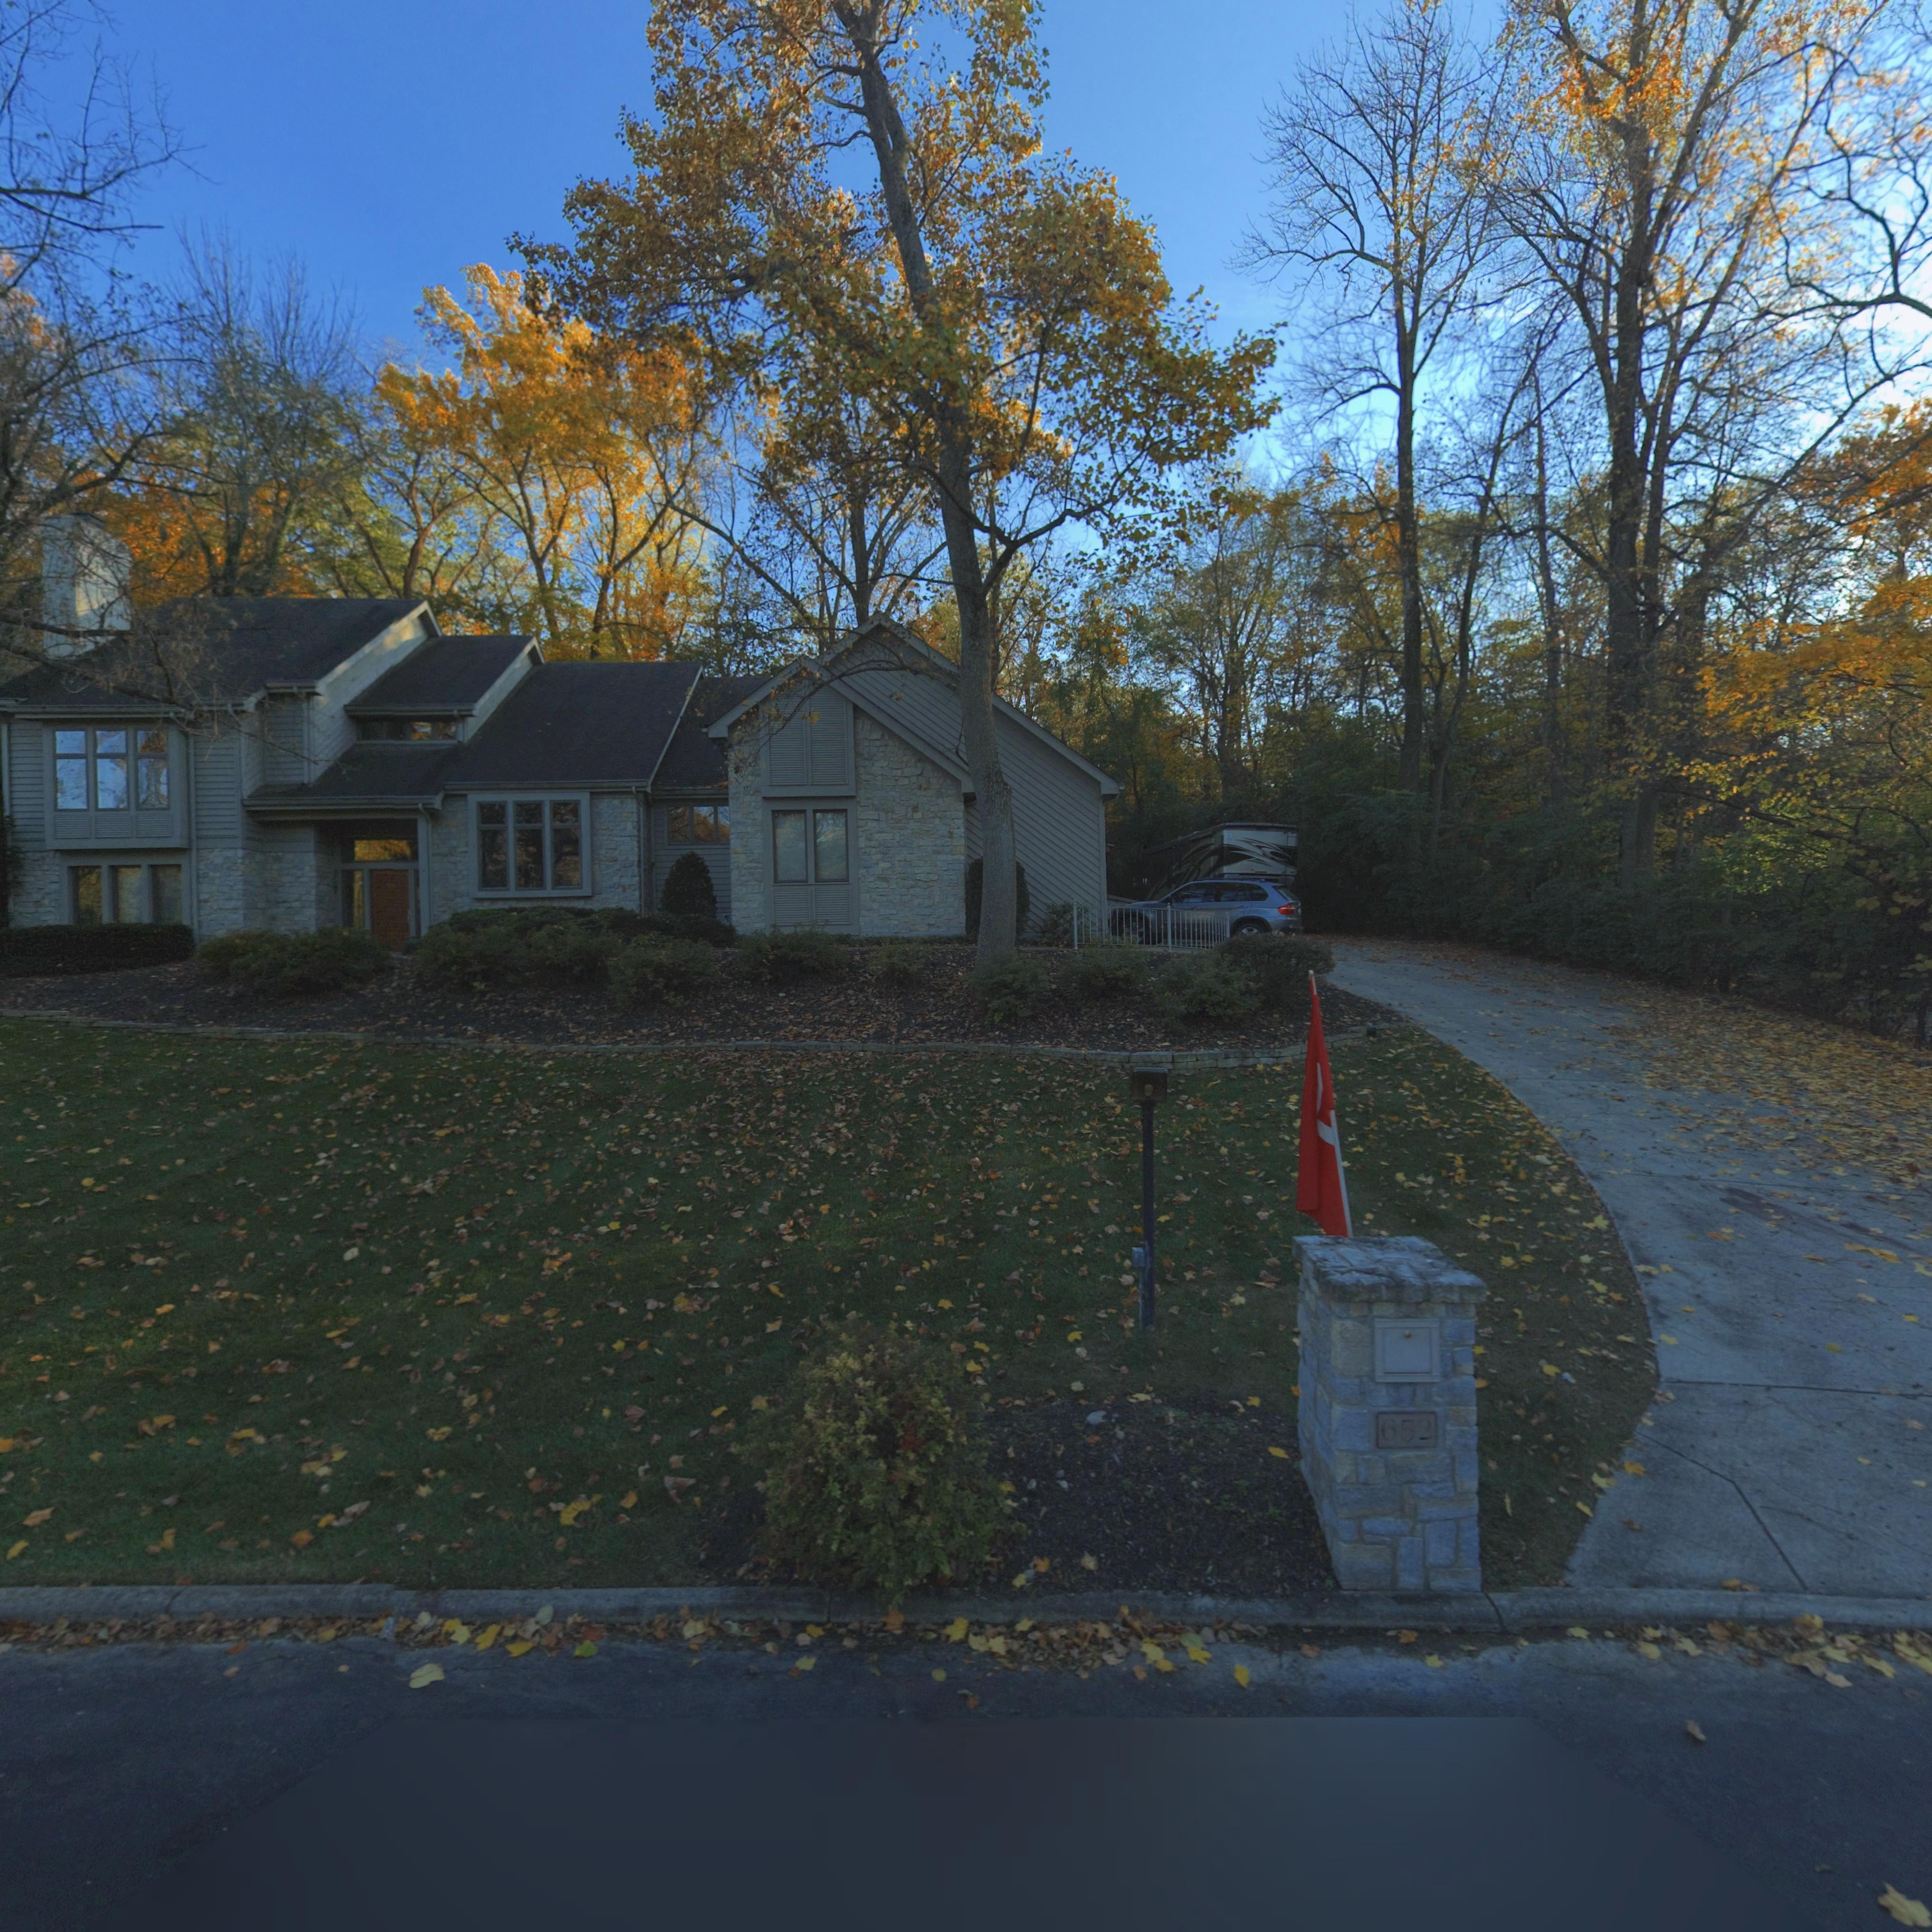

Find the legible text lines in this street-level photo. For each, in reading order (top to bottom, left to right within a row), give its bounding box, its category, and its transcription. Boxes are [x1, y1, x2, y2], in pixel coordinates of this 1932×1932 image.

[1380, 1416, 1434, 1442] StreetNumber: 652